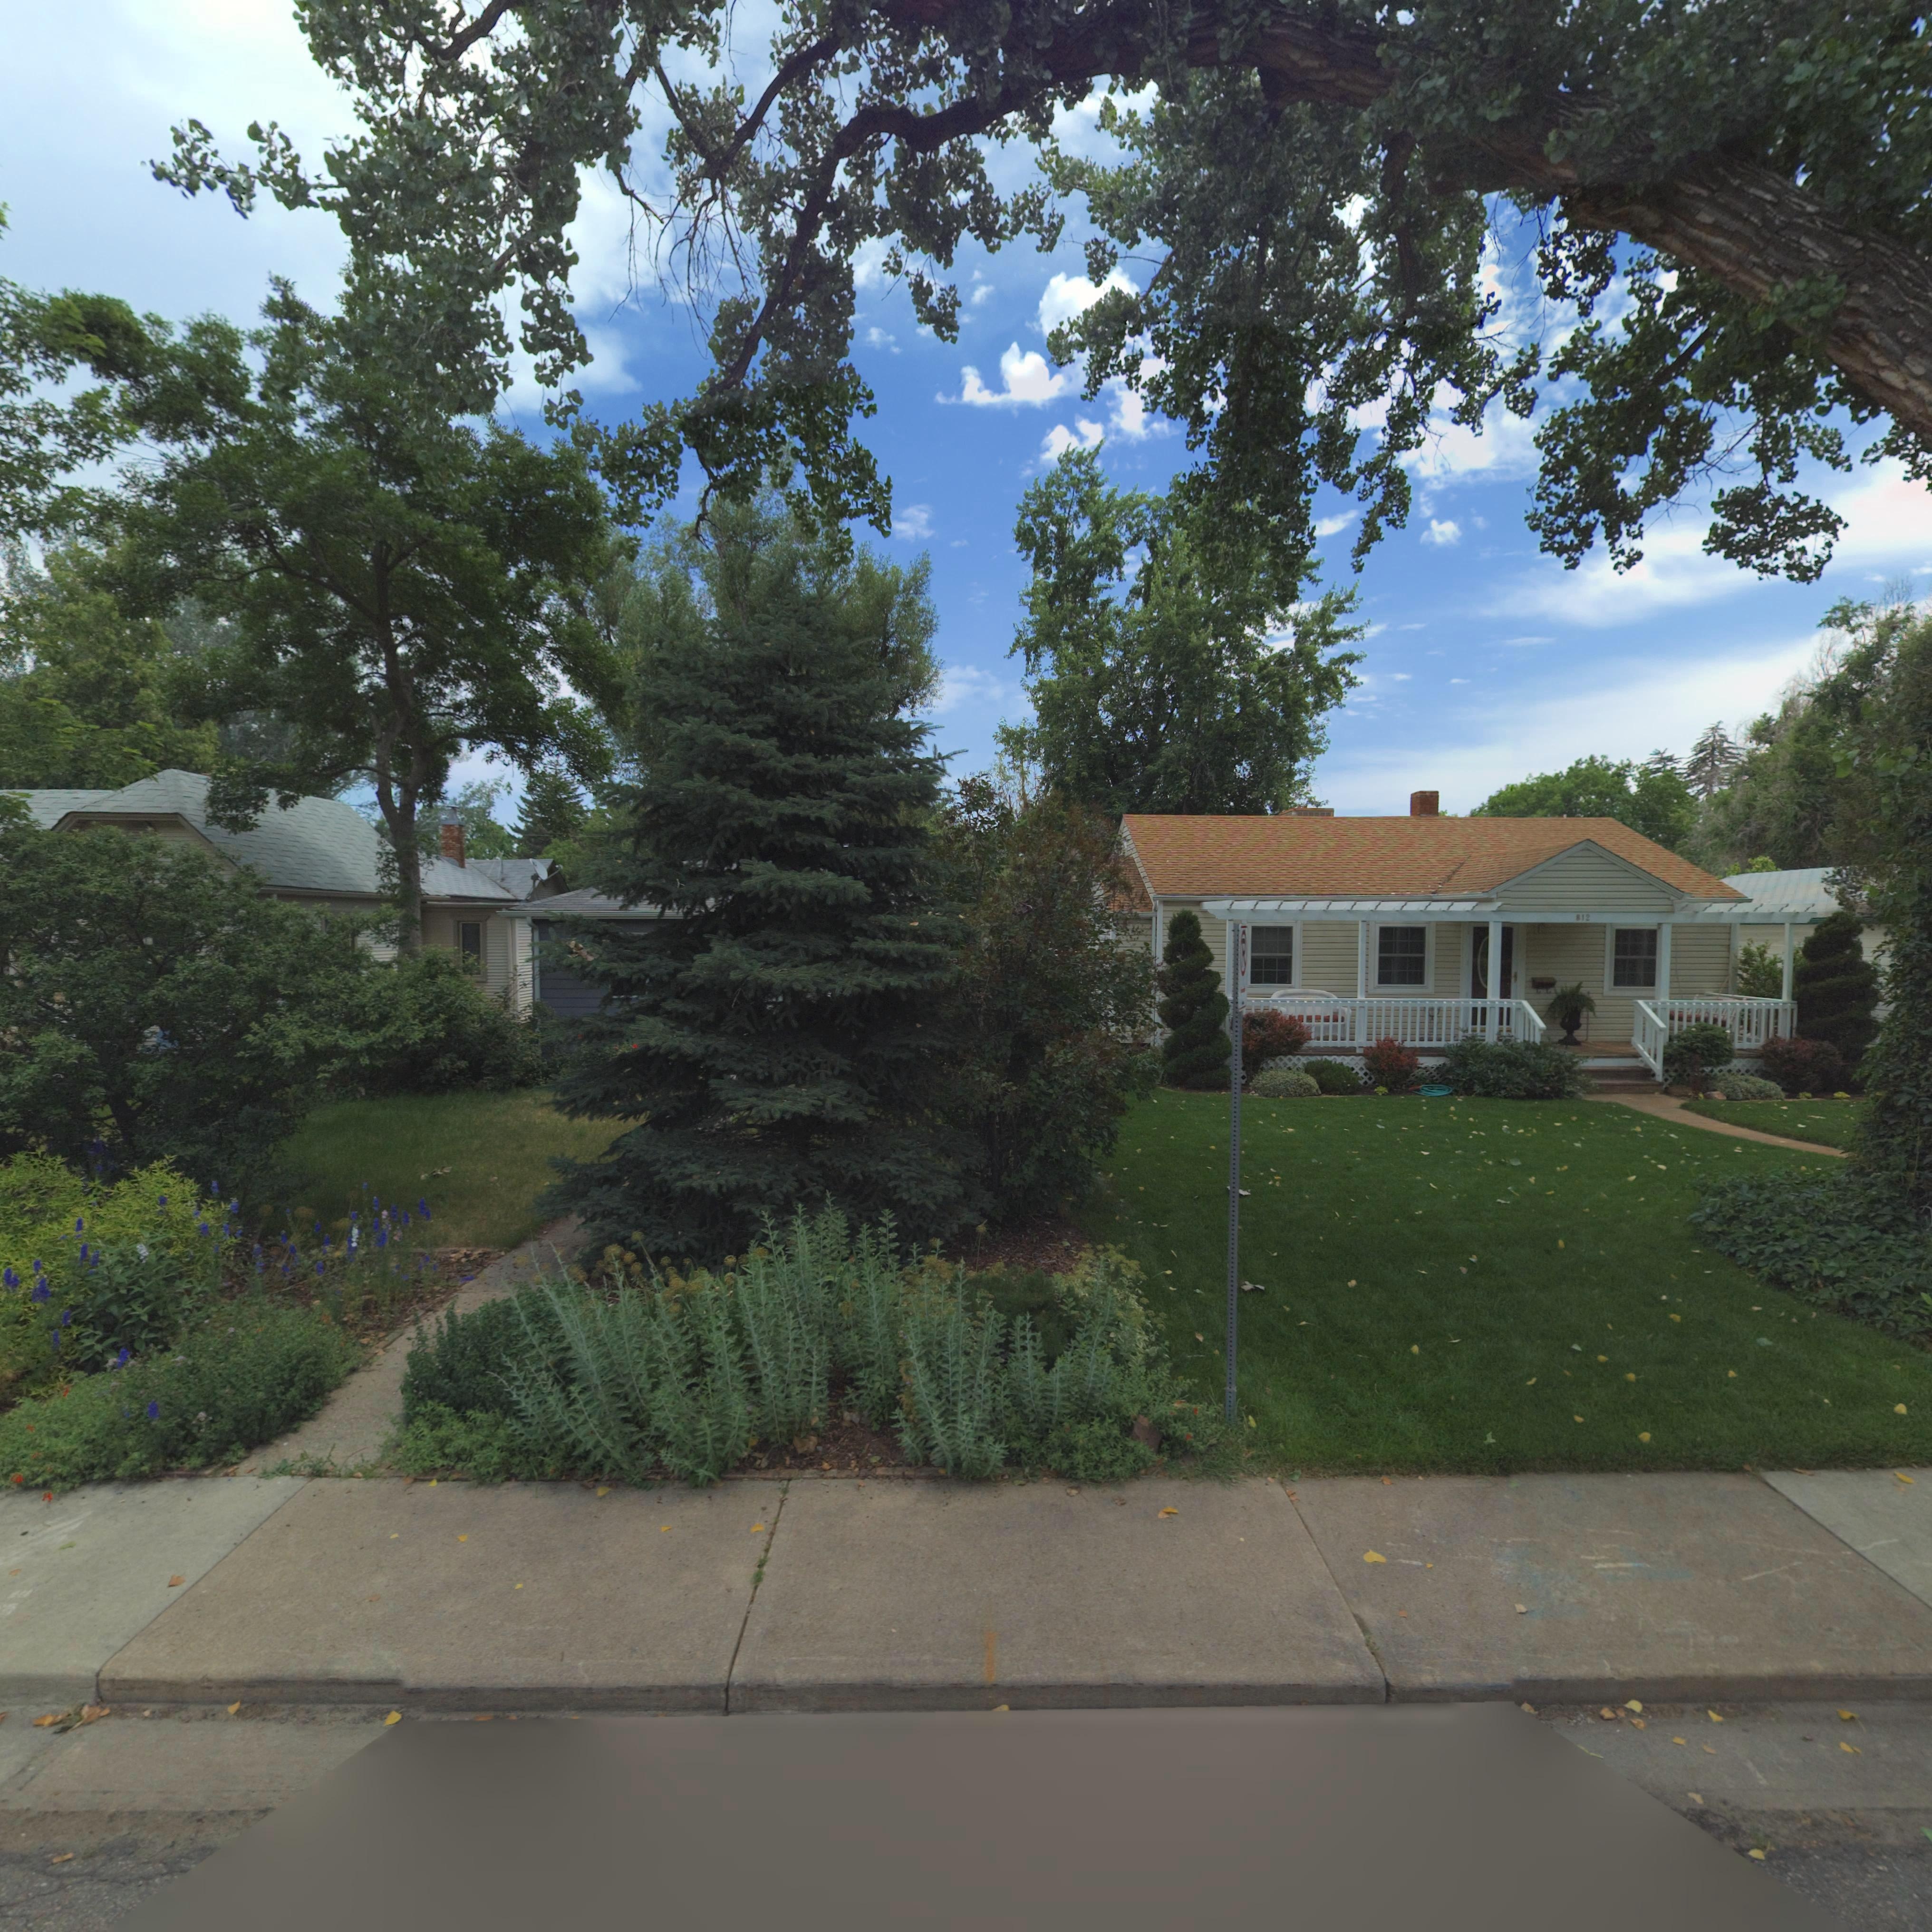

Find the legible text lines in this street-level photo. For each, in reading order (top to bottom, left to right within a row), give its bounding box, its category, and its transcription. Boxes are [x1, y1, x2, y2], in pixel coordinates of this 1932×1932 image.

[1576, 914, 1590, 921] StreetNumber: 812